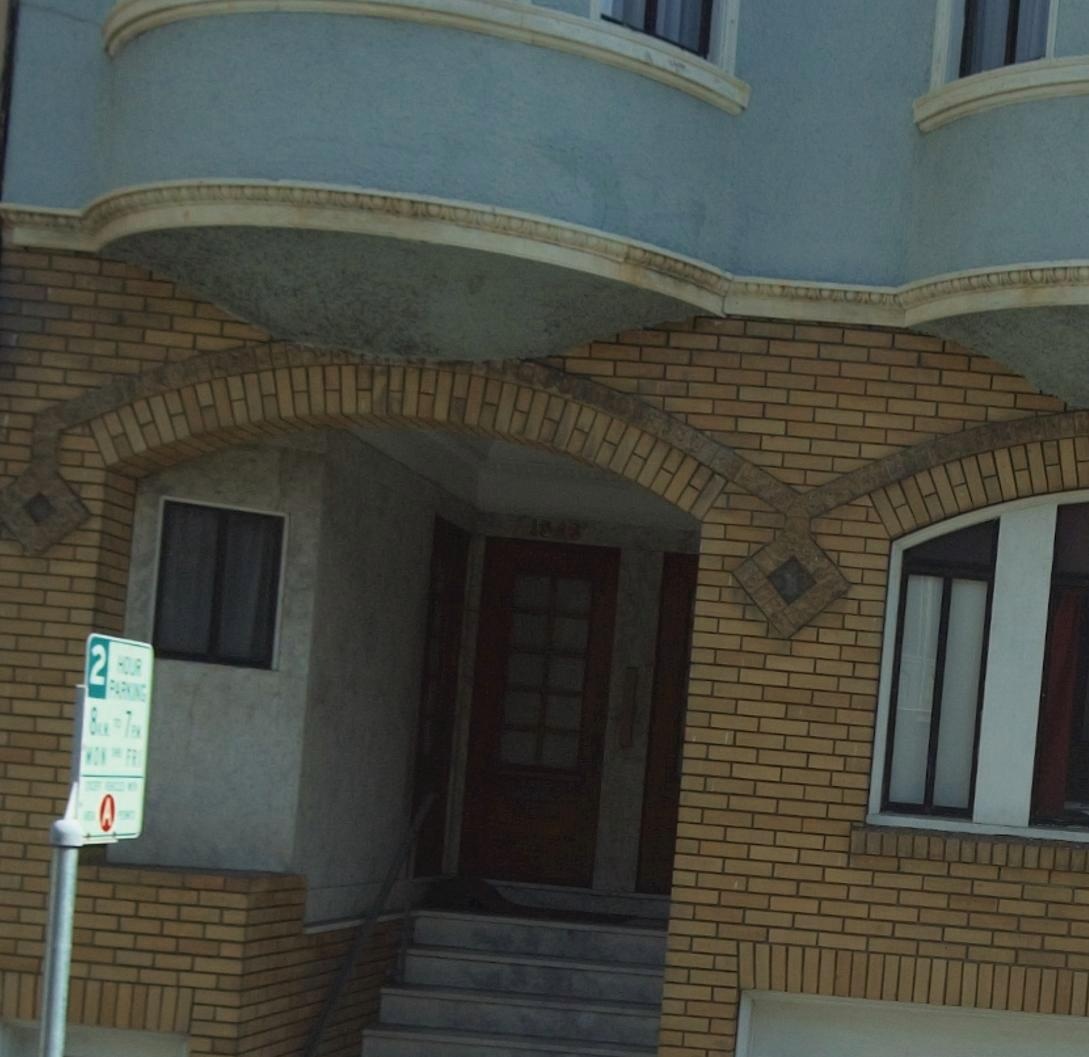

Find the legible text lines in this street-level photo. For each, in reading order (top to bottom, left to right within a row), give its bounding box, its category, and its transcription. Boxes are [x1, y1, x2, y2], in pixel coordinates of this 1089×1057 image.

[527, 517, 582, 542] StreetNumber: 1*48
[87, 642, 109, 687] None: 2
[114, 652, 144, 679] None: HO**
[86, 705, 142, 741] None: 8** ** 7**
[99, 793, 116, 830] None: A